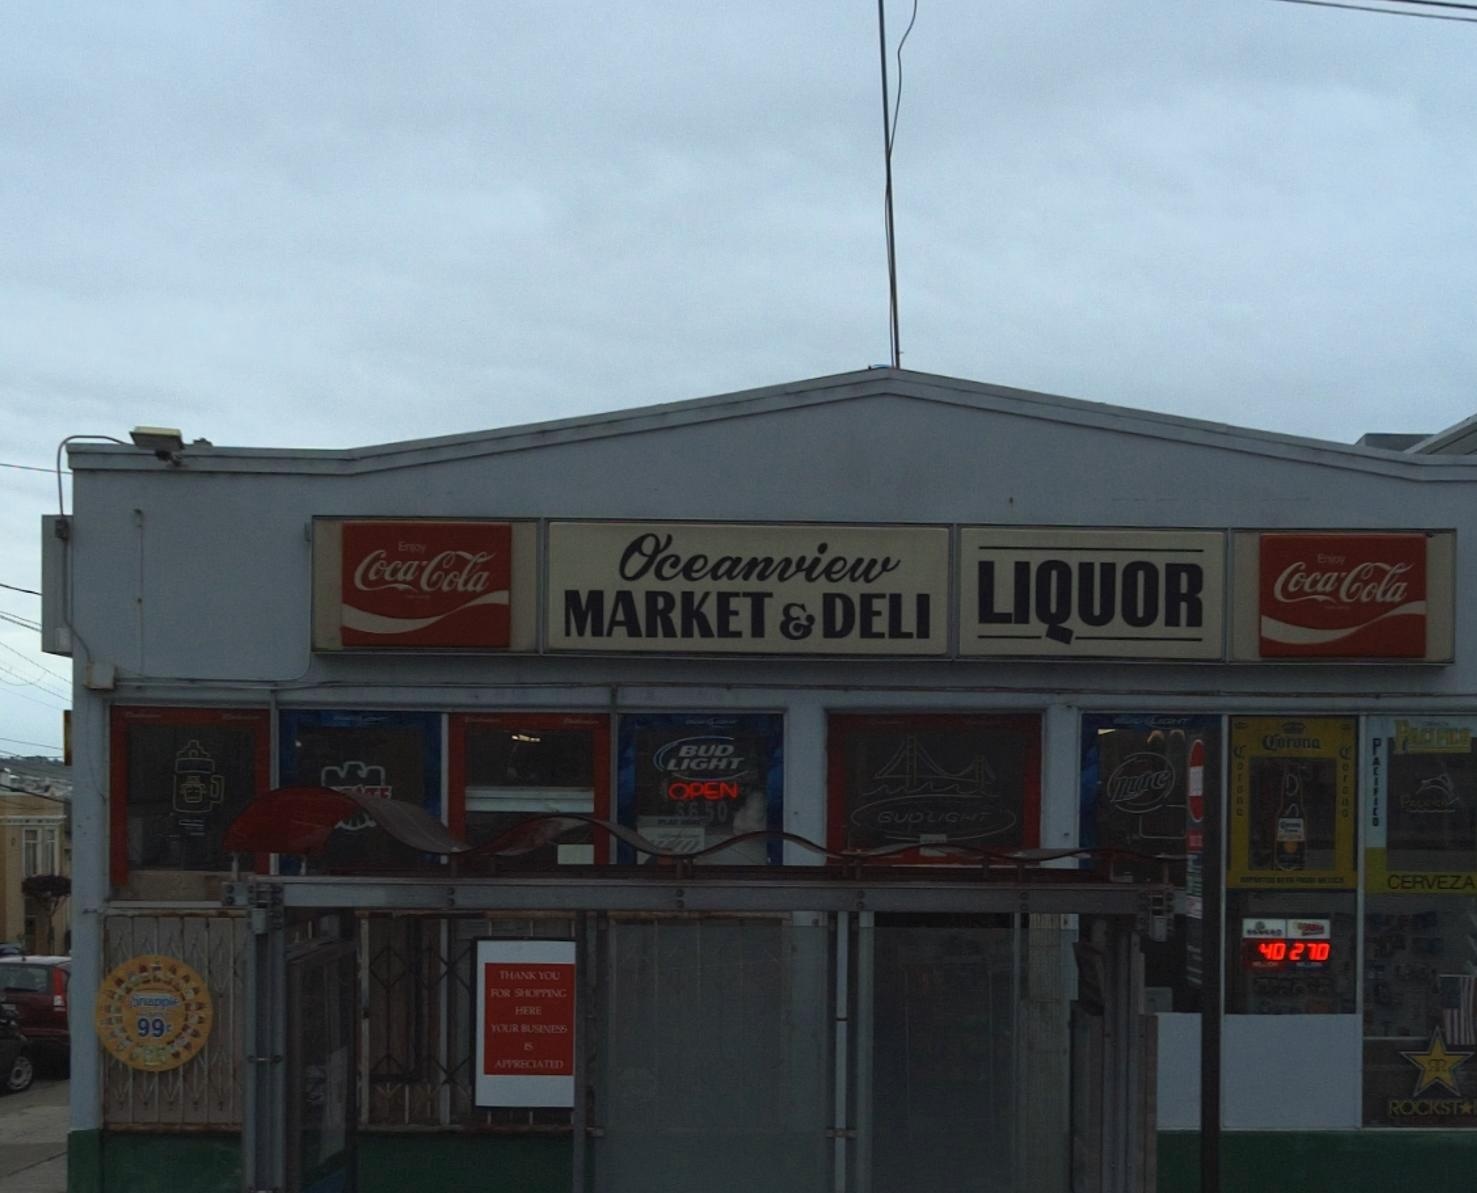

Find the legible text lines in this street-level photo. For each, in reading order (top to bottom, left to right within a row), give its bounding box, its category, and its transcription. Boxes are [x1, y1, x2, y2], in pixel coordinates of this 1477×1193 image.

[396, 538, 429, 556] None: En*oy
[351, 546, 499, 596] None: Coca Cola
[614, 529, 905, 587] BusinessName: Oceanview
[1315, 551, 1349, 568] None: E**oy
[1270, 558, 1415, 606] None: Coca Cola
[561, 586, 933, 642] BusinessName: MARKET & DELI
[975, 557, 1207, 648] None: LIQUOR
[675, 742, 738, 760] None: BUD
[1259, 730, 1324, 755] None: *orona
[1390, 717, 1474, 757] None: P*******
[663, 755, 748, 773] None: LIGHT
[667, 778, 740, 803] None: OPEN
[1106, 767, 1175, 807] None: **te
[1231, 742, 1248, 820] None: *orona
[1336, 743, 1355, 820] None: *orona
[1369, 735, 1384, 831] None: PACIFICO
[714, 798, 731, 825] None: 0
[872, 808, 995, 826] None: BUD LIGHT
[1385, 871, 1477, 892] None: CERVEZ
[1256, 939, 1289, 964] None: 40
[1286, 939, 1333, 963] None: 270
[496, 968, 563, 983] None: THANKYOU
[130, 991, 181, 1013] None: Snapple
[513, 1003, 544, 1017] None: HERE
[489, 986, 570, 1000] None: FOR SHOPPING
[135, 1015, 168, 1041] None: 99
[488, 1021, 570, 1035] None: YOUR BUSINESS
[521, 1039, 536, 1053] None: IS
[490, 1056, 568, 1072] None: A***ECTAITED
[1386, 1096, 1467, 1118] None: ROCKST